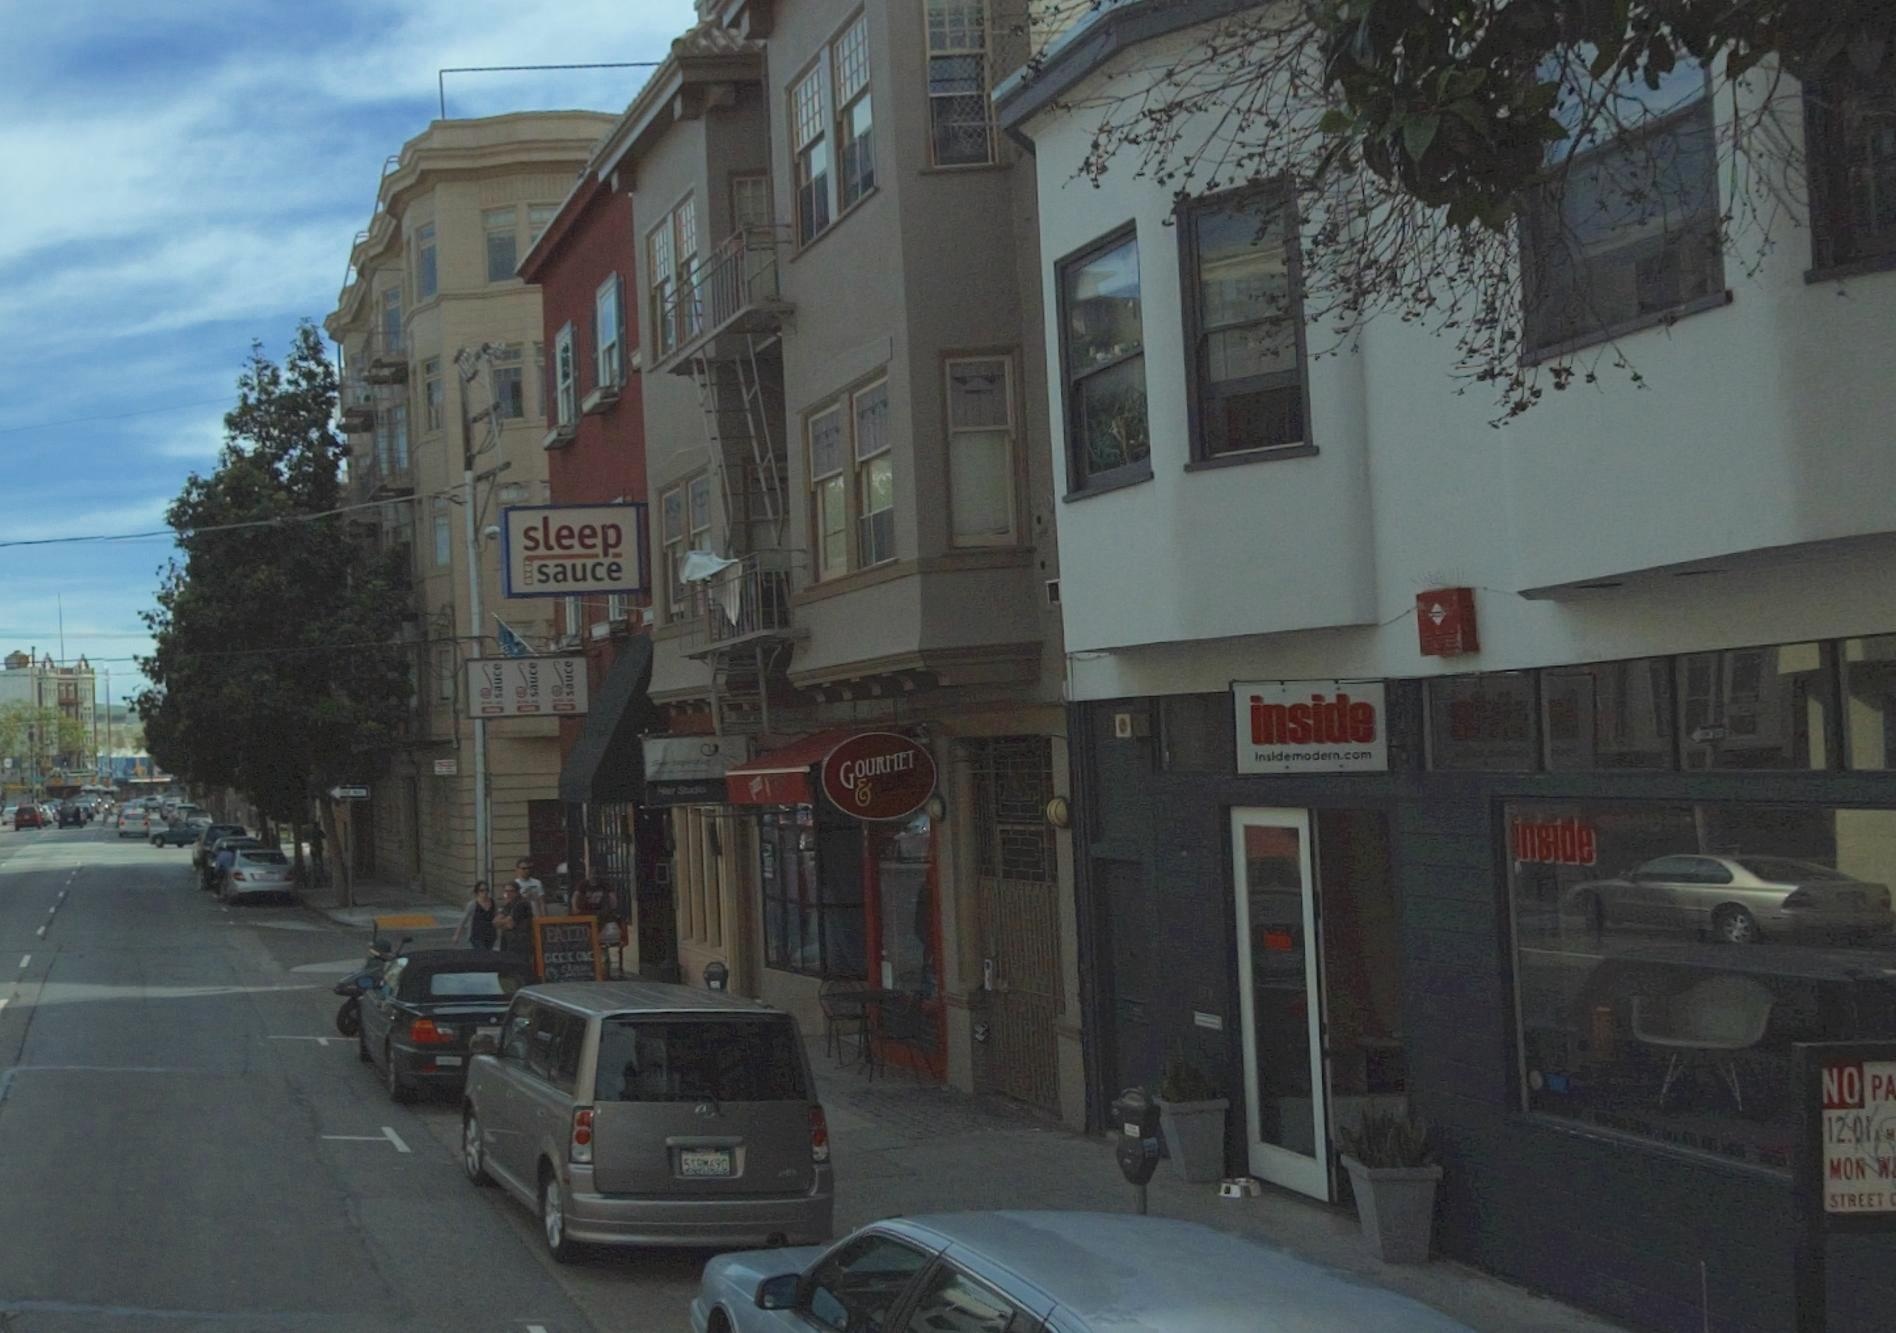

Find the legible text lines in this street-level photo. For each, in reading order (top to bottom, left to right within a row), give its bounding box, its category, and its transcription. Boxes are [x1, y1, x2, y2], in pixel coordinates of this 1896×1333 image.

[520, 510, 626, 562] BusinessName: sleep
[533, 558, 627, 588] BusinessName: sauce
[491, 661, 506, 700] BusinessName: sauce
[526, 660, 541, 699] BusinessName: sauce
[562, 659, 577, 698] BusinessName: sauce
[1248, 691, 1375, 746] BusinessName: inside
[835, 746, 918, 794] BusinessName: GOURMET
[1252, 748, 1375, 765] None: Insidemodern.com
[675, 783, 687, 798] BusinessName: S
[1509, 812, 1600, 870] BusinessName: inside
[542, 924, 579, 946] None: PAT
[1820, 1063, 1886, 1107] None: NO P
[1823, 1113, 1850, 1148] None: 12
[713, 1154, 731, 1174] None: 90
[1825, 1154, 1856, 1183] None: MO
[1826, 1189, 1888, 1212] None: STREET